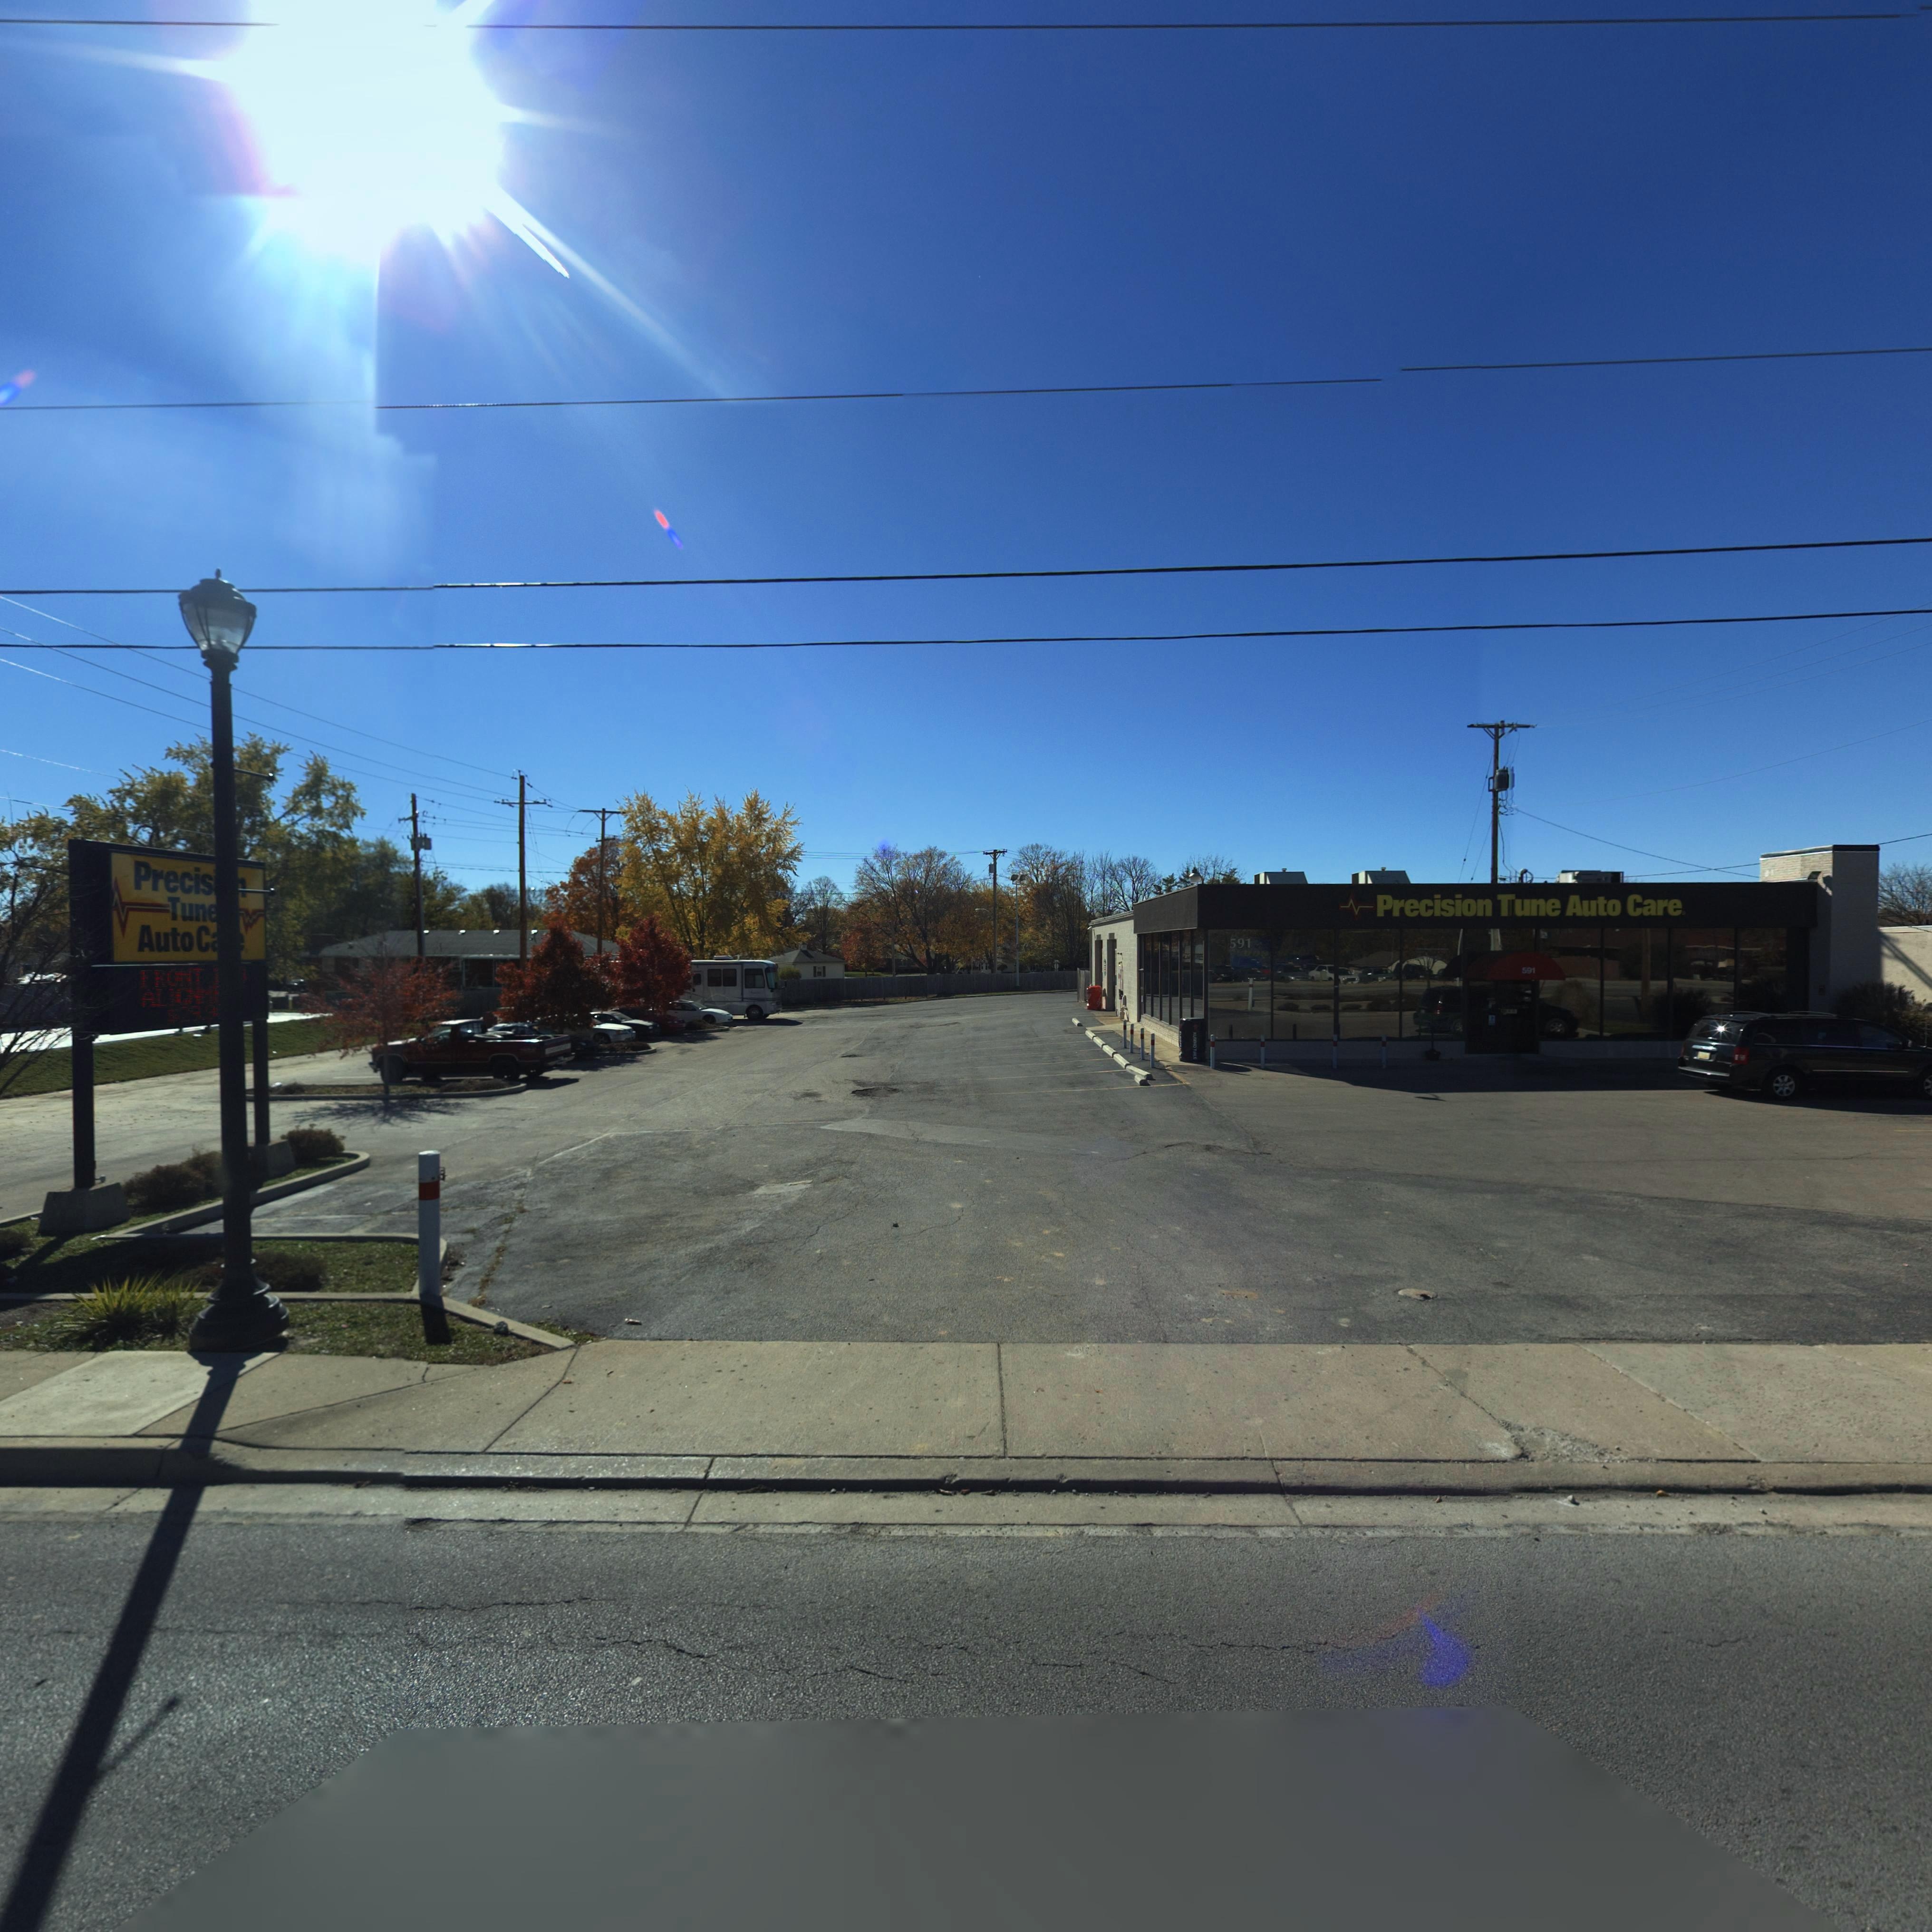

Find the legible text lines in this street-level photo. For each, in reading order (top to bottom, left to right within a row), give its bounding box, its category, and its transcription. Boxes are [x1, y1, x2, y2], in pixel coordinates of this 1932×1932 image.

[132, 858, 214, 898] BusinessName: Precis
[166, 895, 218, 924] BusinessName: Tune
[1375, 893, 1684, 918] BusinessName: Precision Tune Auto Care
[136, 923, 212, 954] BusinessName: AutoC
[1228, 937, 1251, 949] StreetNumber: 591
[137, 966, 207, 990] None: FRONT
[1521, 966, 1536, 976] StreetNumber: 591
[139, 984, 214, 1010] None: ALIGNM
[166, 1003, 216, 1026] None: $29.9